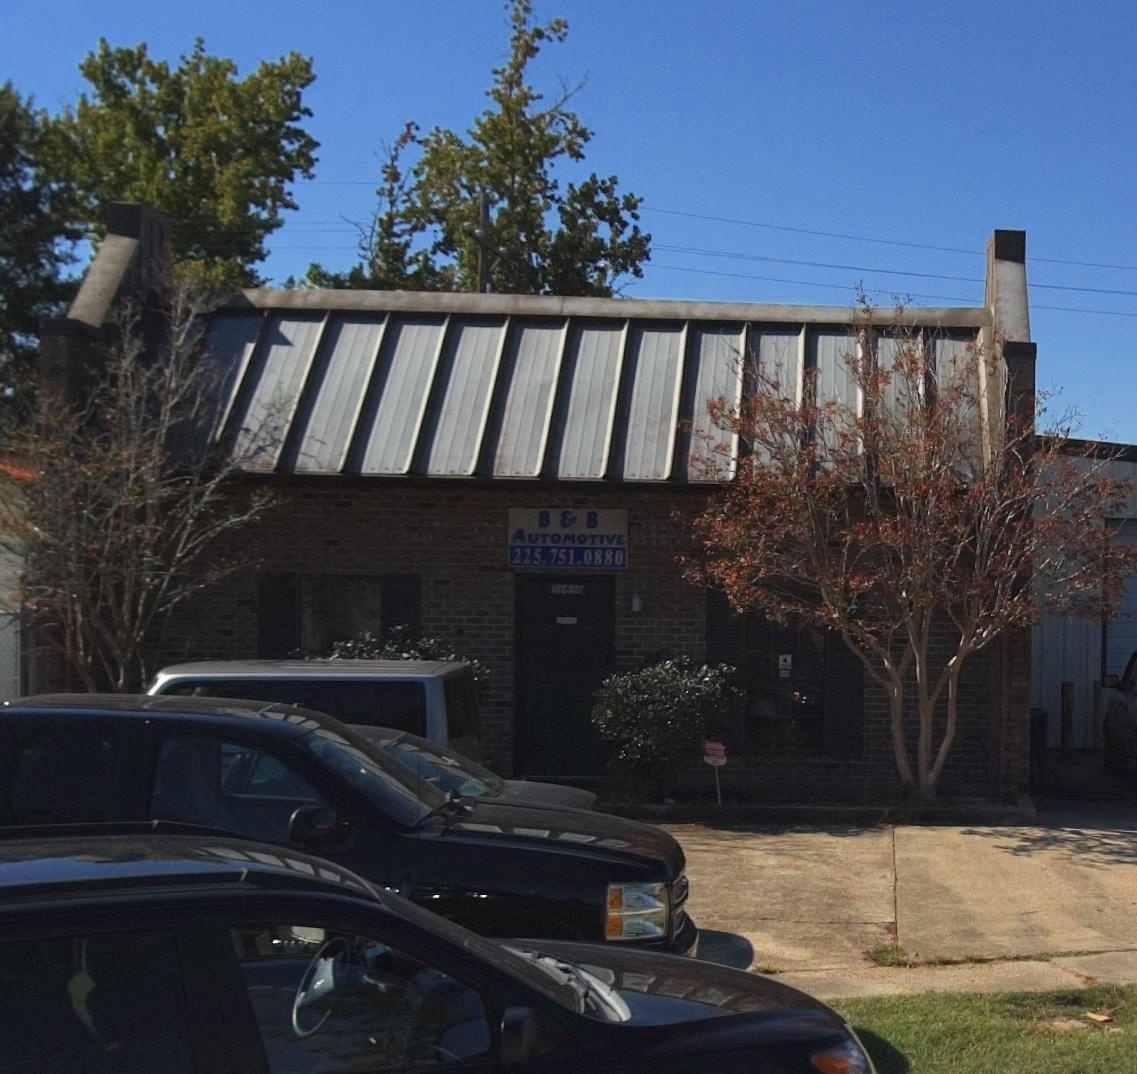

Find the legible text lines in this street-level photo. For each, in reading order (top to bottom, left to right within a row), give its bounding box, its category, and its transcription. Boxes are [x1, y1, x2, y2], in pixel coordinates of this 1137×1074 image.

[536, 507, 600, 532] BusinessName: B & B
[507, 526, 628, 548] BusinessName: AUTOMOTIVE
[509, 545, 626, 568] None: 225.751.0880
[550, 582, 584, 595] StreetNumber: 11*1*